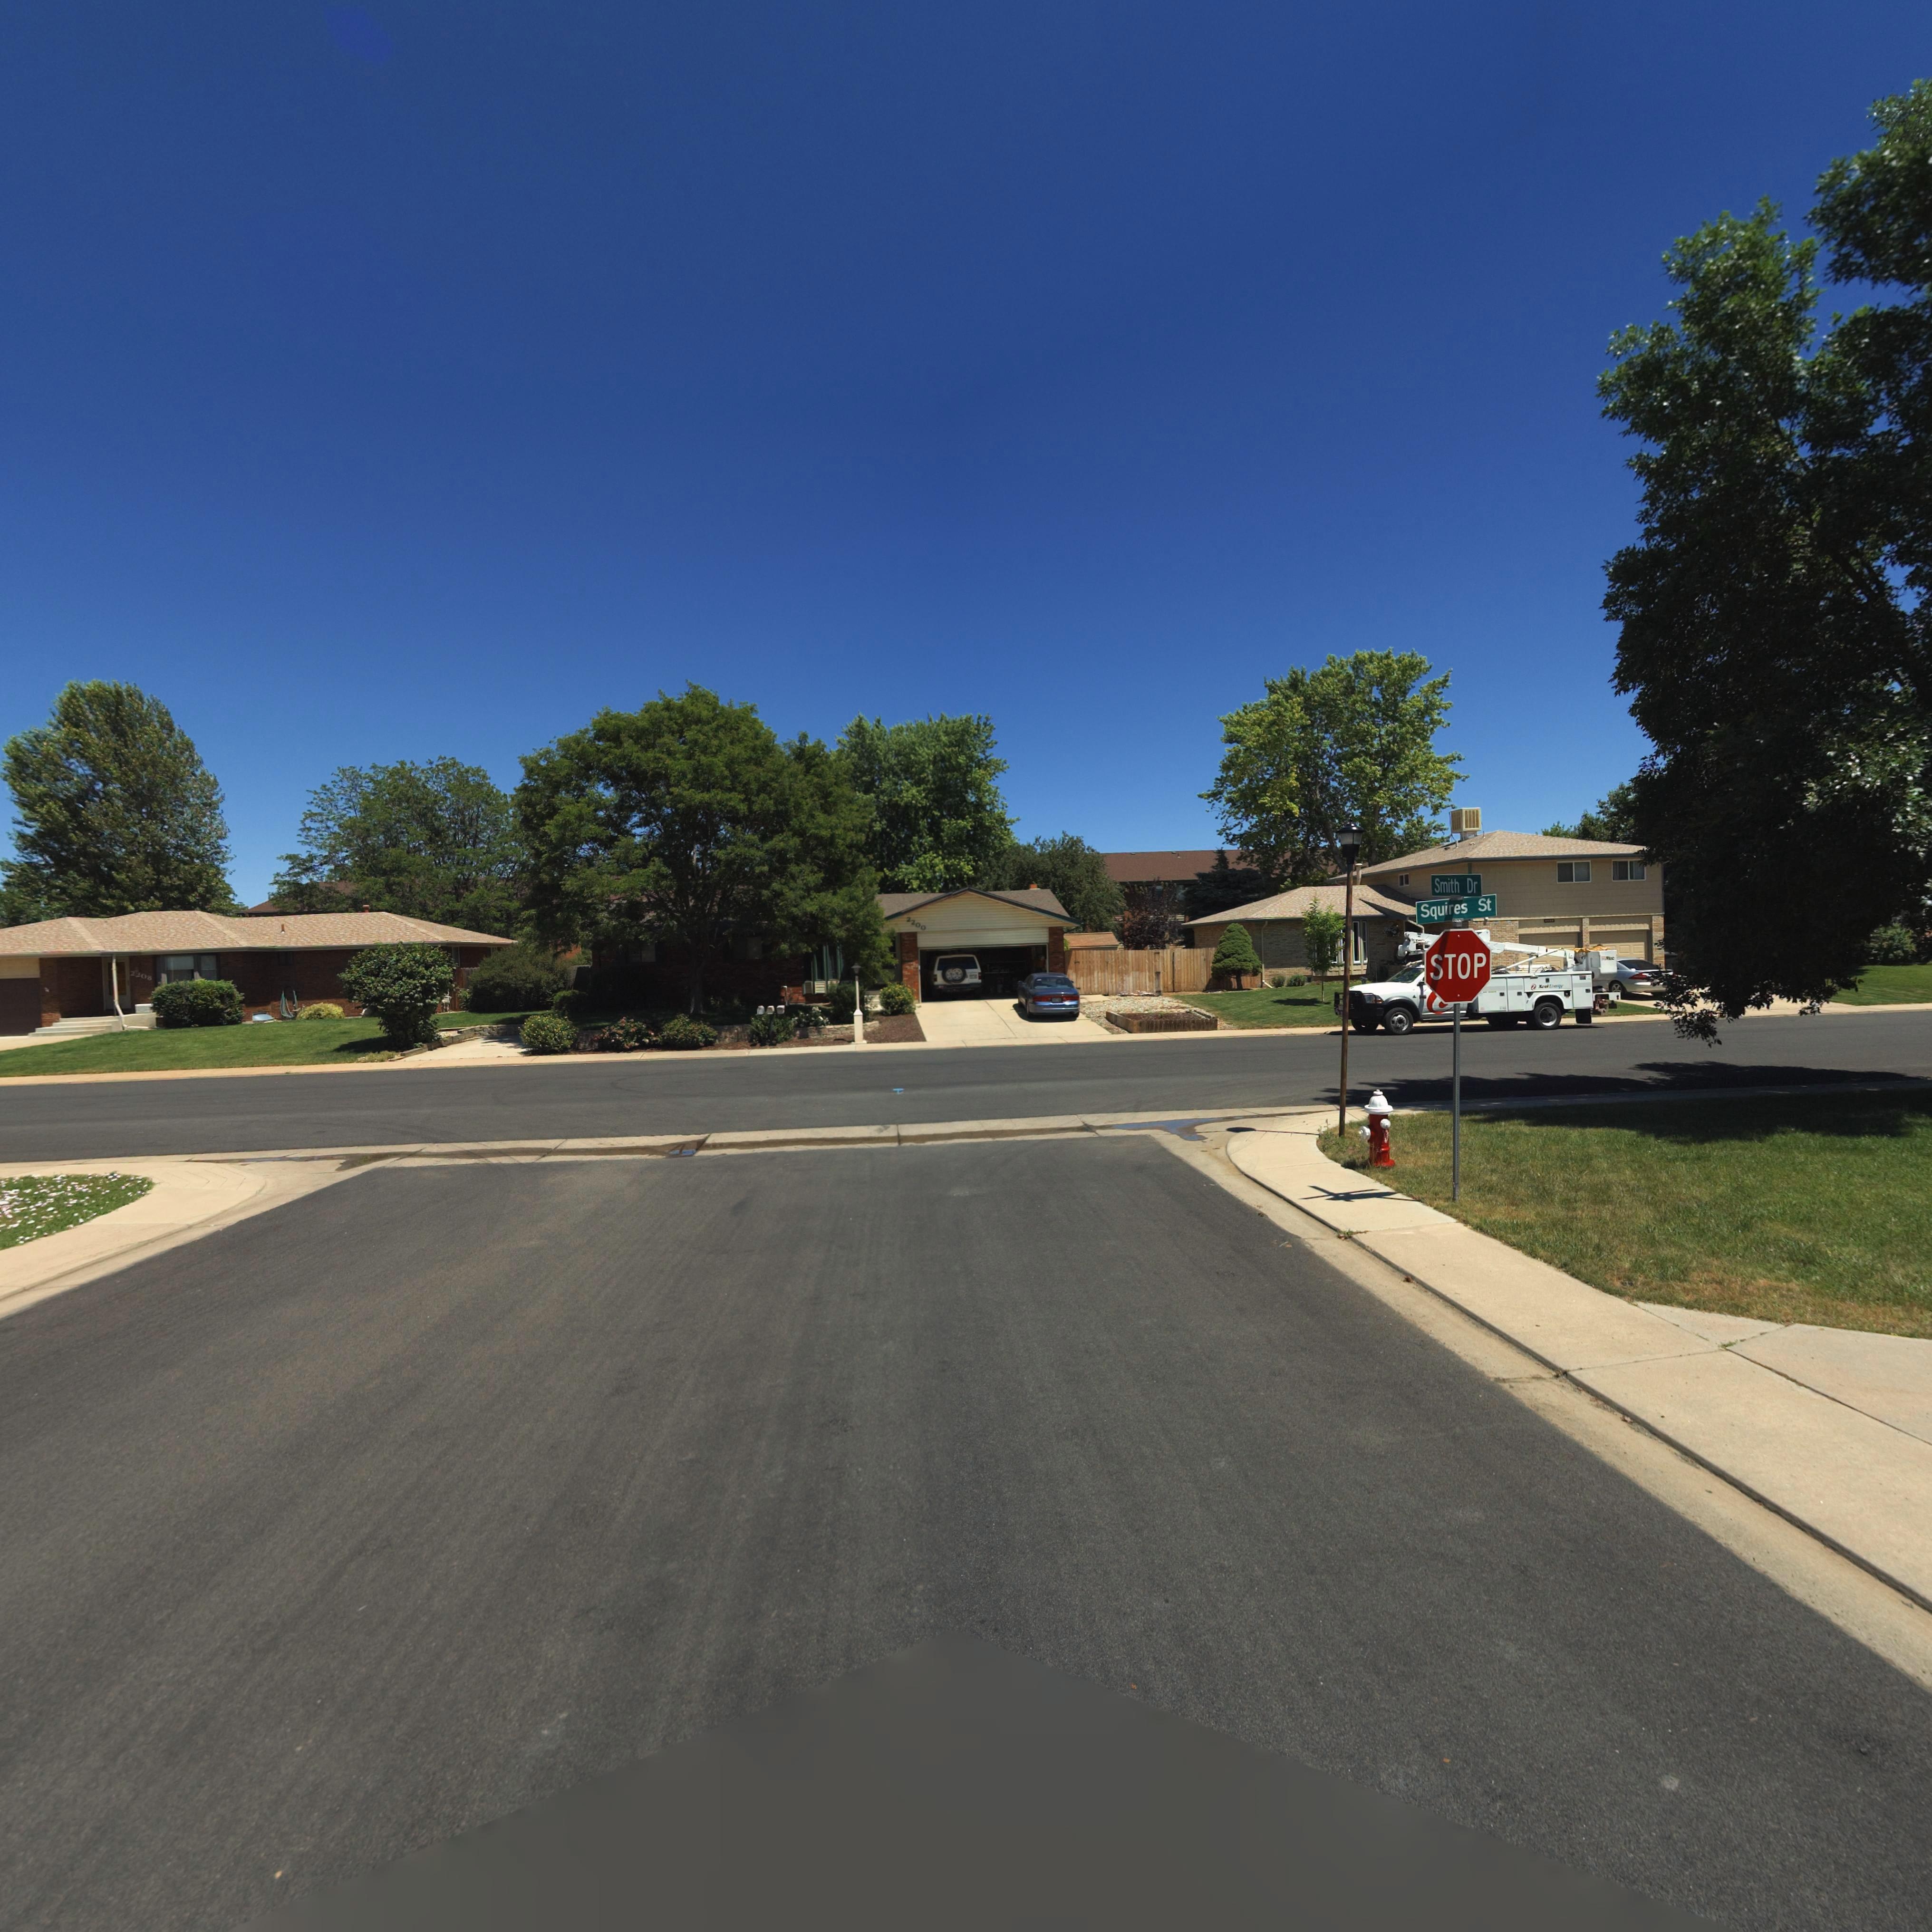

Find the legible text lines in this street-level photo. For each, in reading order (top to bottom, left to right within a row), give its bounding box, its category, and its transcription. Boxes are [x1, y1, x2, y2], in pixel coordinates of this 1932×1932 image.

[1432, 875, 1479, 895] StreetNumber: Smith Dr
[1418, 896, 1493, 922] StreetNumber: Squires St
[904, 916, 927, 931] StreetNumber: 2200